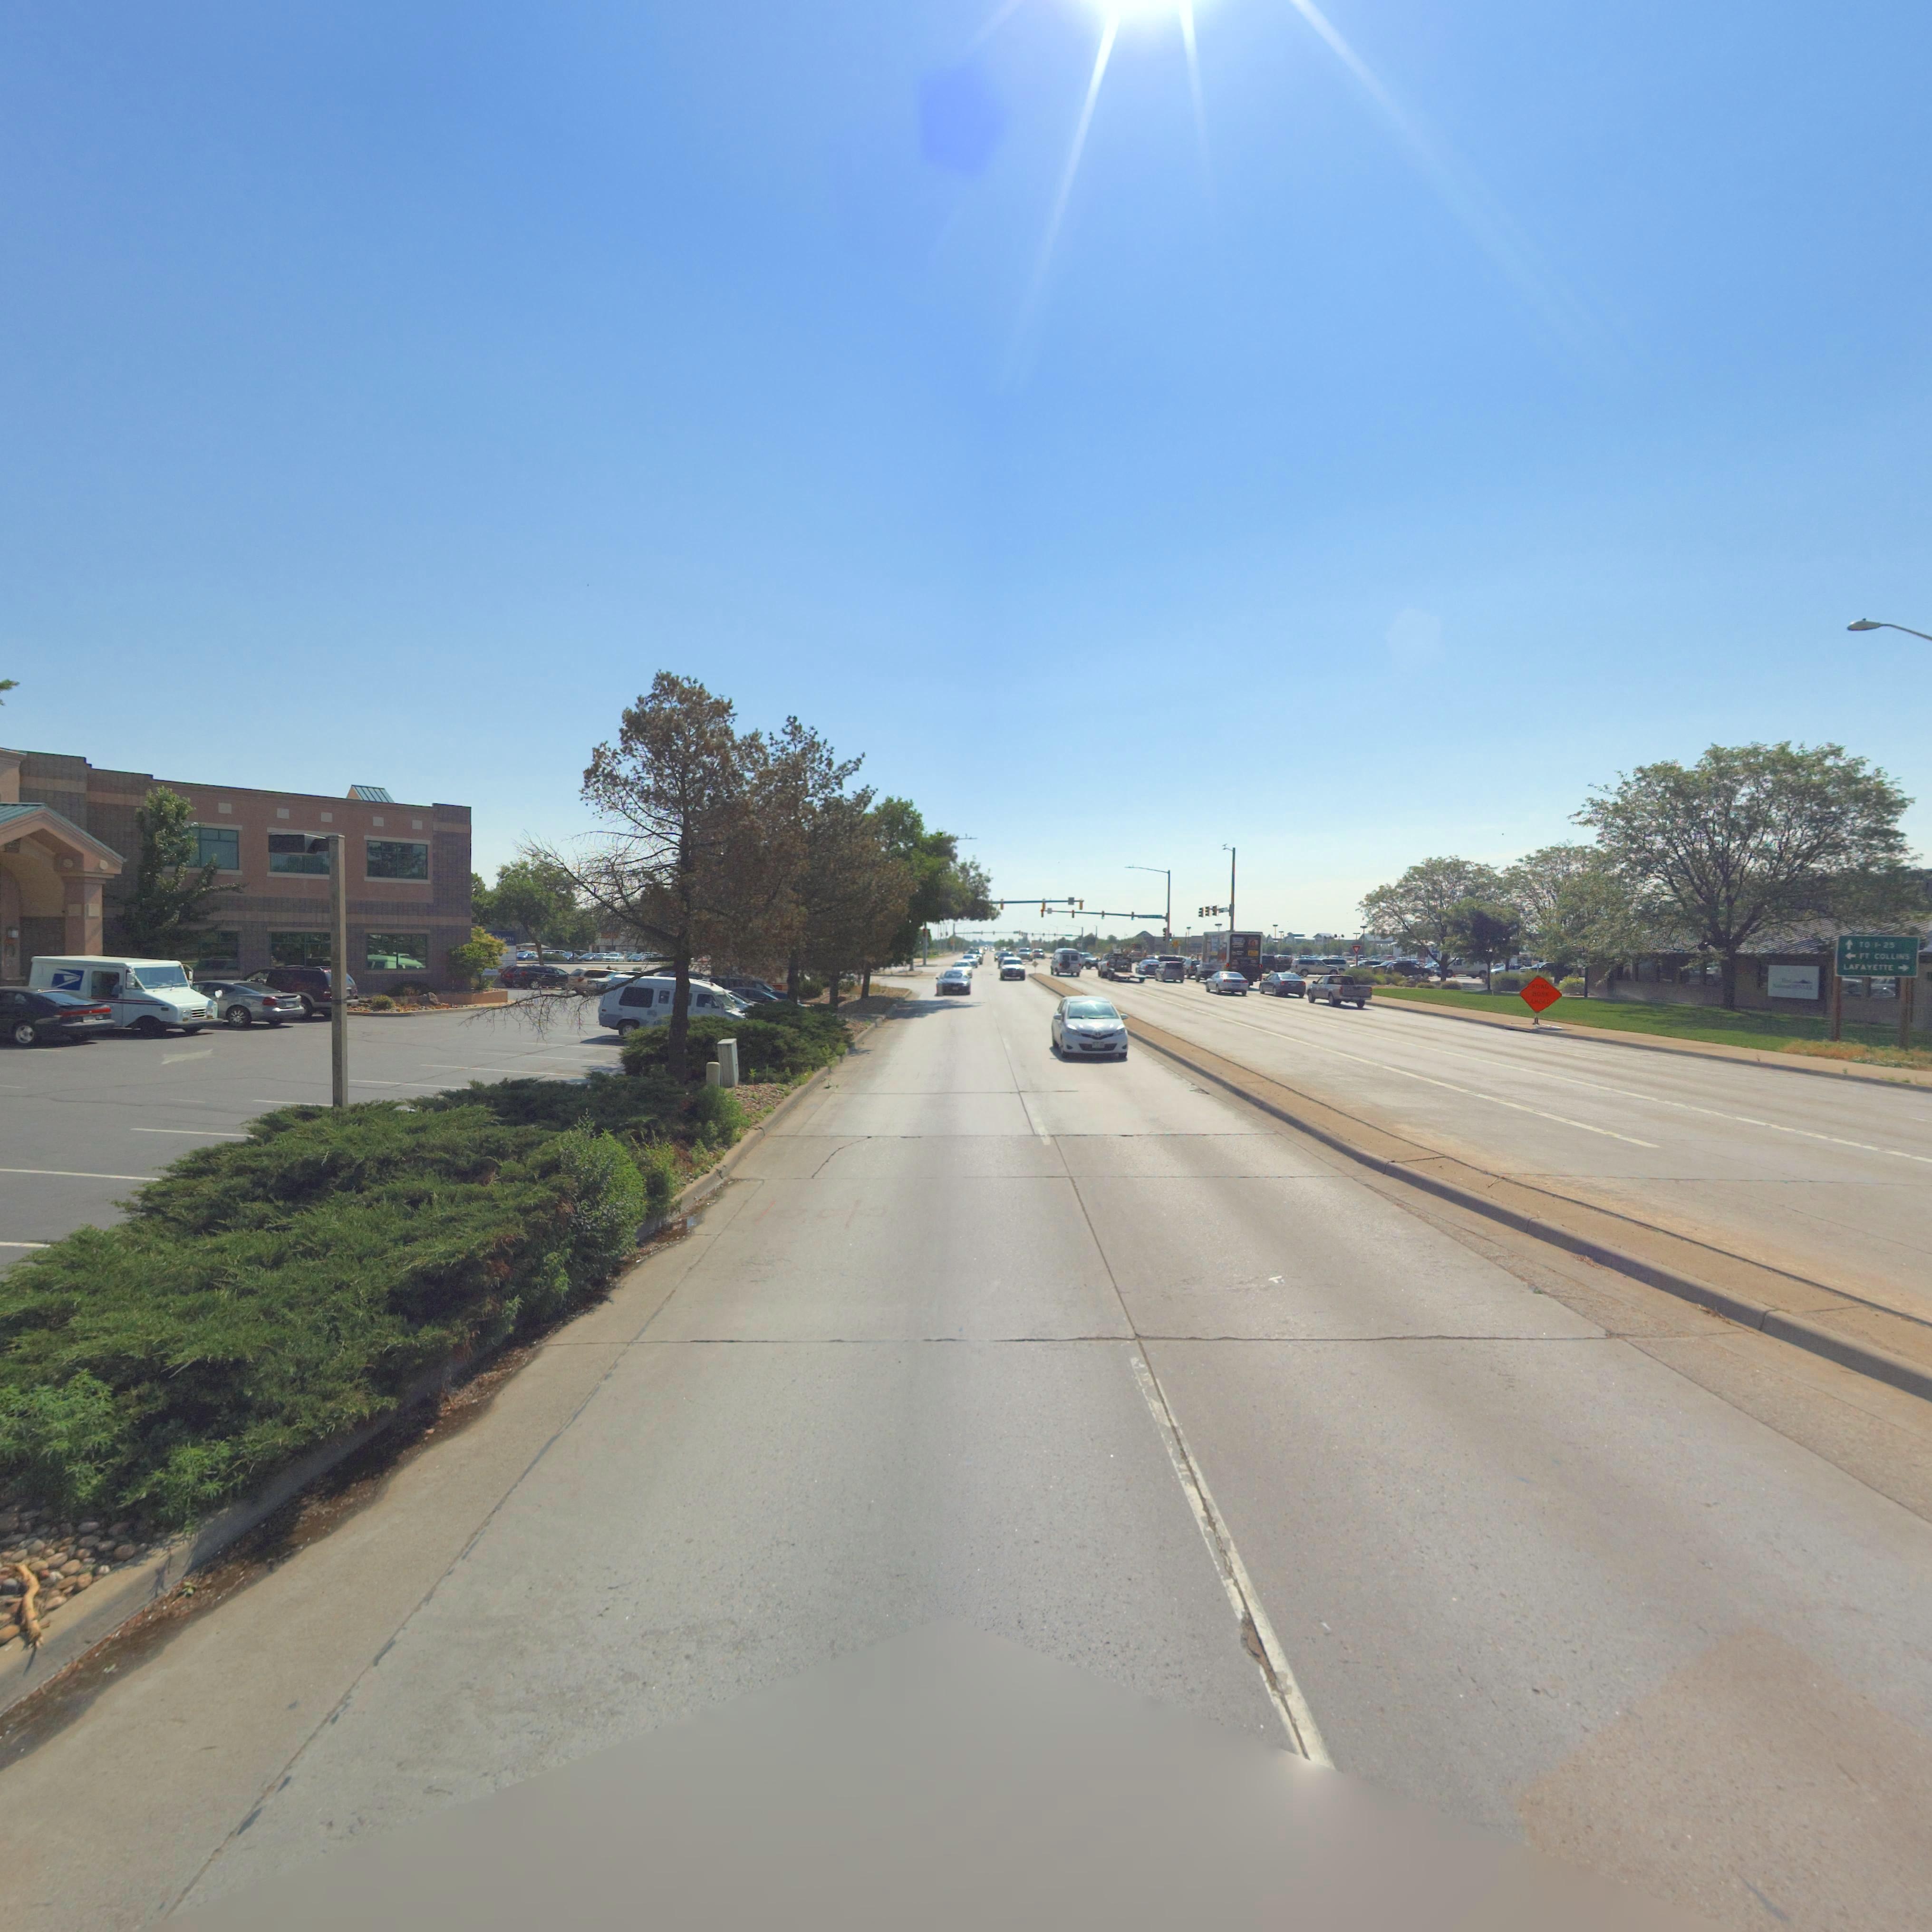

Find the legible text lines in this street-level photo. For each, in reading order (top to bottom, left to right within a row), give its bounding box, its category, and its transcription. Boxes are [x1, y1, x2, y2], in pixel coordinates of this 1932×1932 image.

[494, 935, 514, 941] BusinessName: **** N**TH